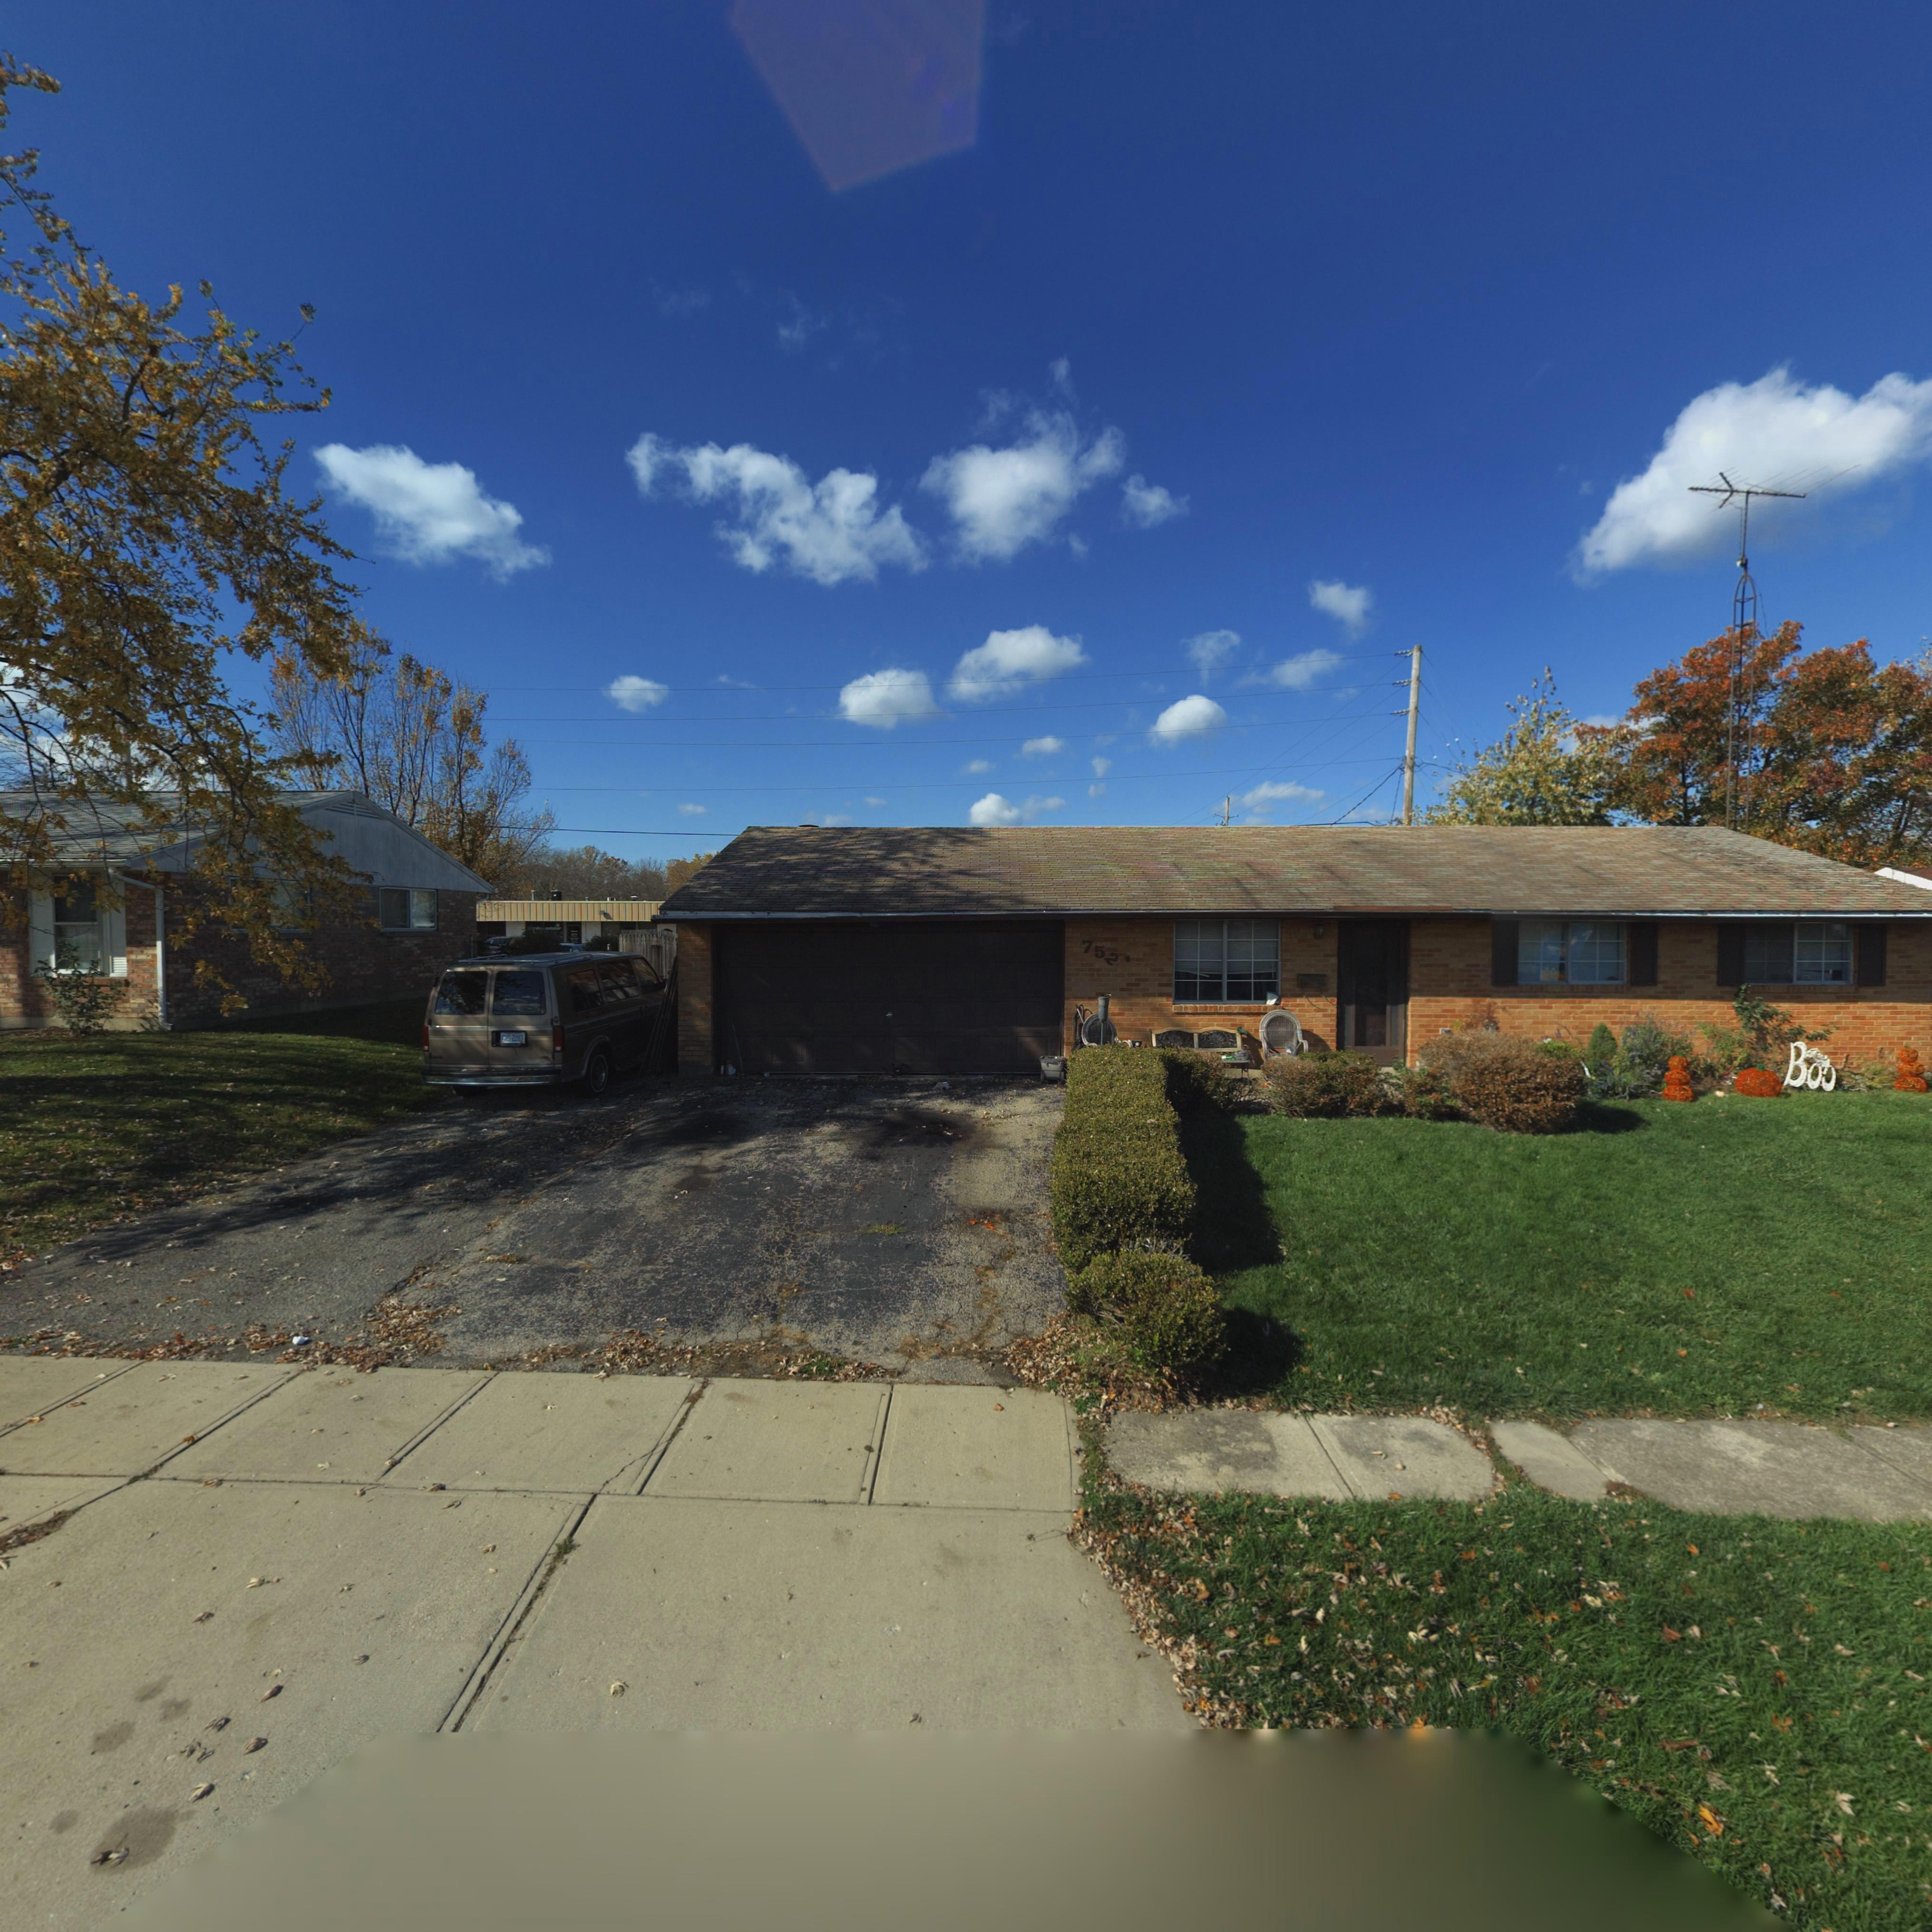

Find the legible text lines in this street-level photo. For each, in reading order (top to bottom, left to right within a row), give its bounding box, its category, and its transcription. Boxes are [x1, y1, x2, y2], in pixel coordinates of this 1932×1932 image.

[1081, 938, 1131, 967] StreetNumber: 752*